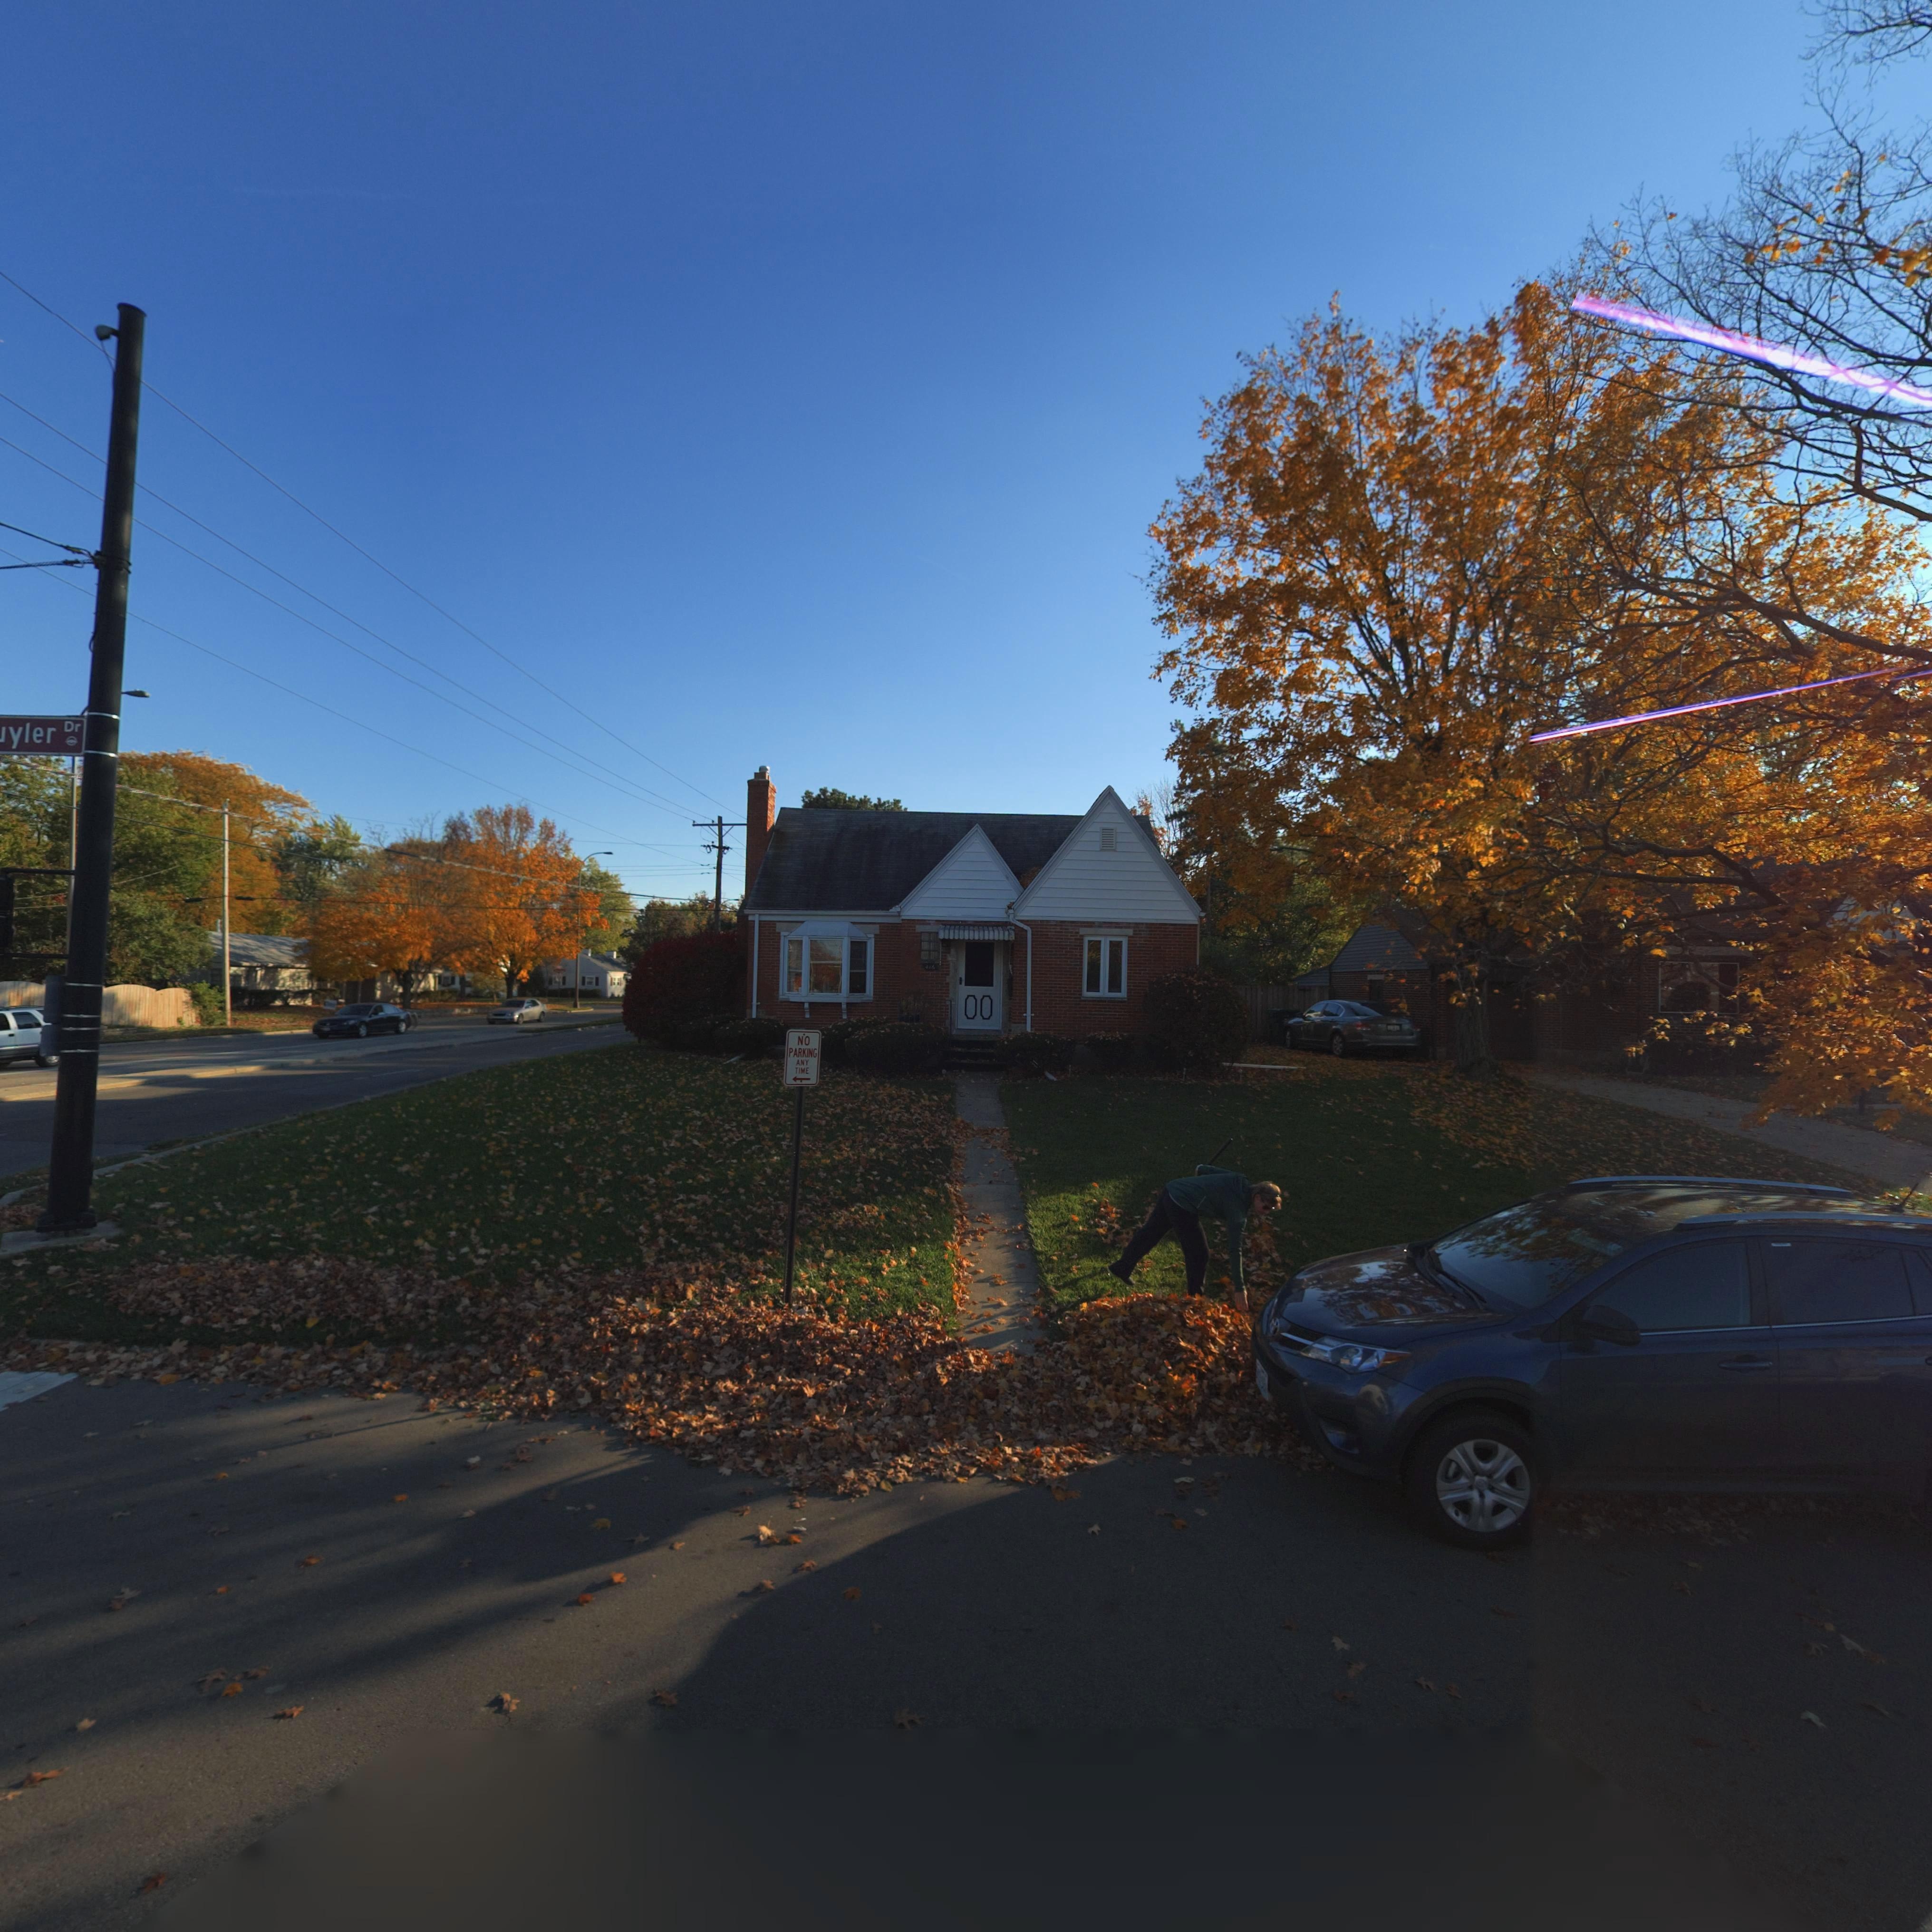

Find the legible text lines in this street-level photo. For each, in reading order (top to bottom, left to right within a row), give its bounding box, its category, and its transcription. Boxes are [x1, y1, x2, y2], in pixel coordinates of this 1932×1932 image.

[924, 964, 936, 970] StreetNumber: 416